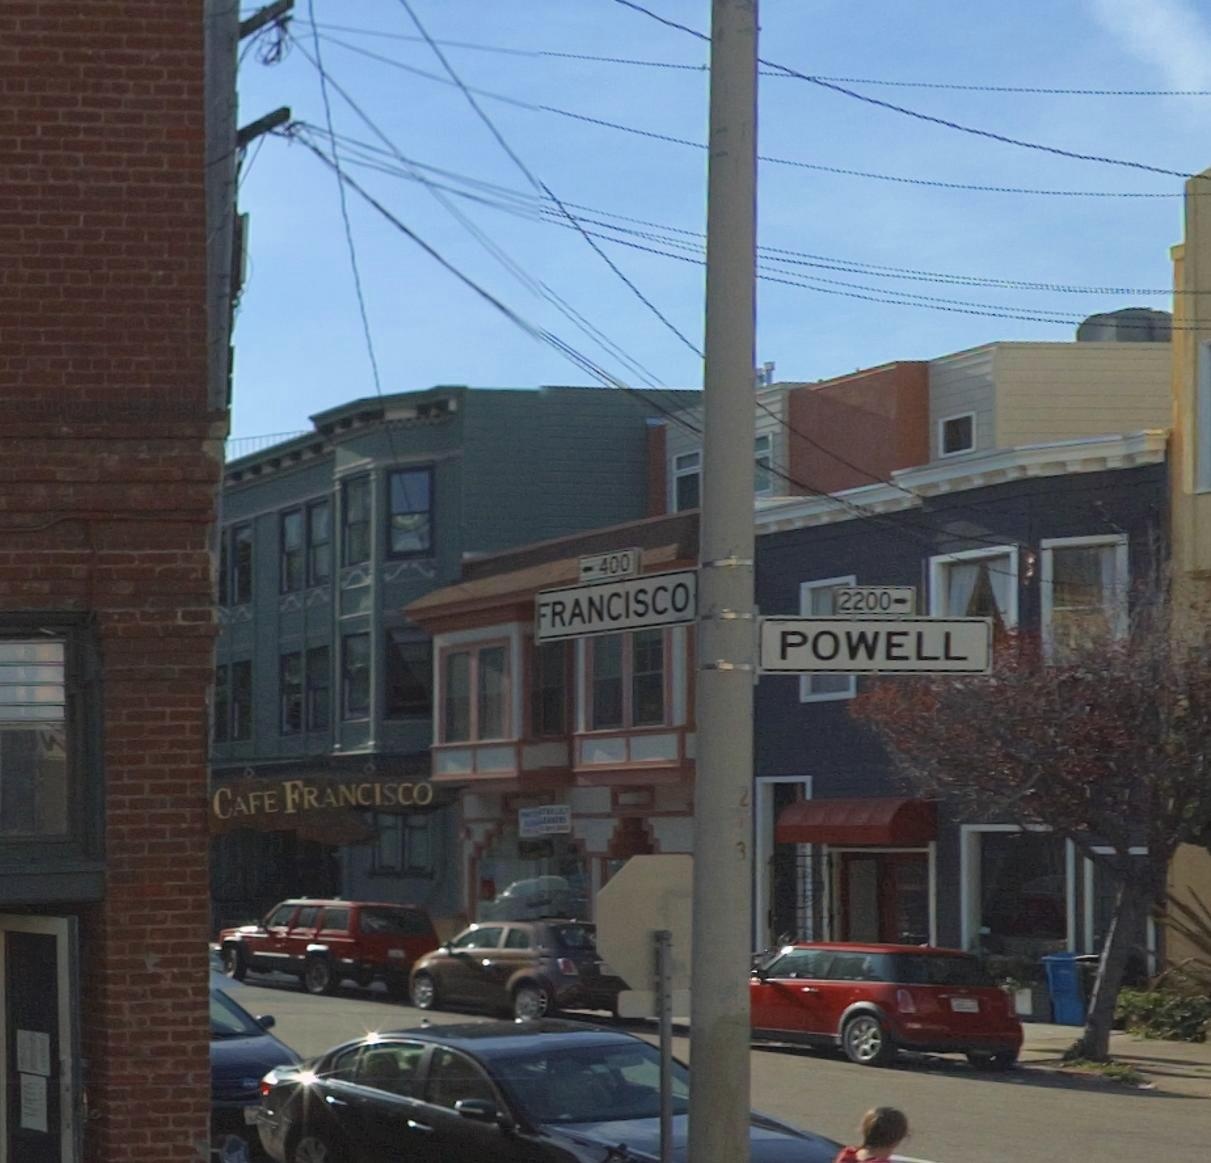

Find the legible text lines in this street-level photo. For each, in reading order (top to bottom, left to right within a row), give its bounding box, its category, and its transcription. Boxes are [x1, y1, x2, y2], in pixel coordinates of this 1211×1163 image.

[579, 550, 632, 578] StreetNumberRange: <-400
[534, 578, 692, 634] StreetName: FRANCISCO
[834, 587, 915, 614] StreetNumberRange: 2200->
[776, 626, 972, 665] StreetName: PEWLL
[210, 776, 437, 823] BusinessName: CAFE FRANCISCO